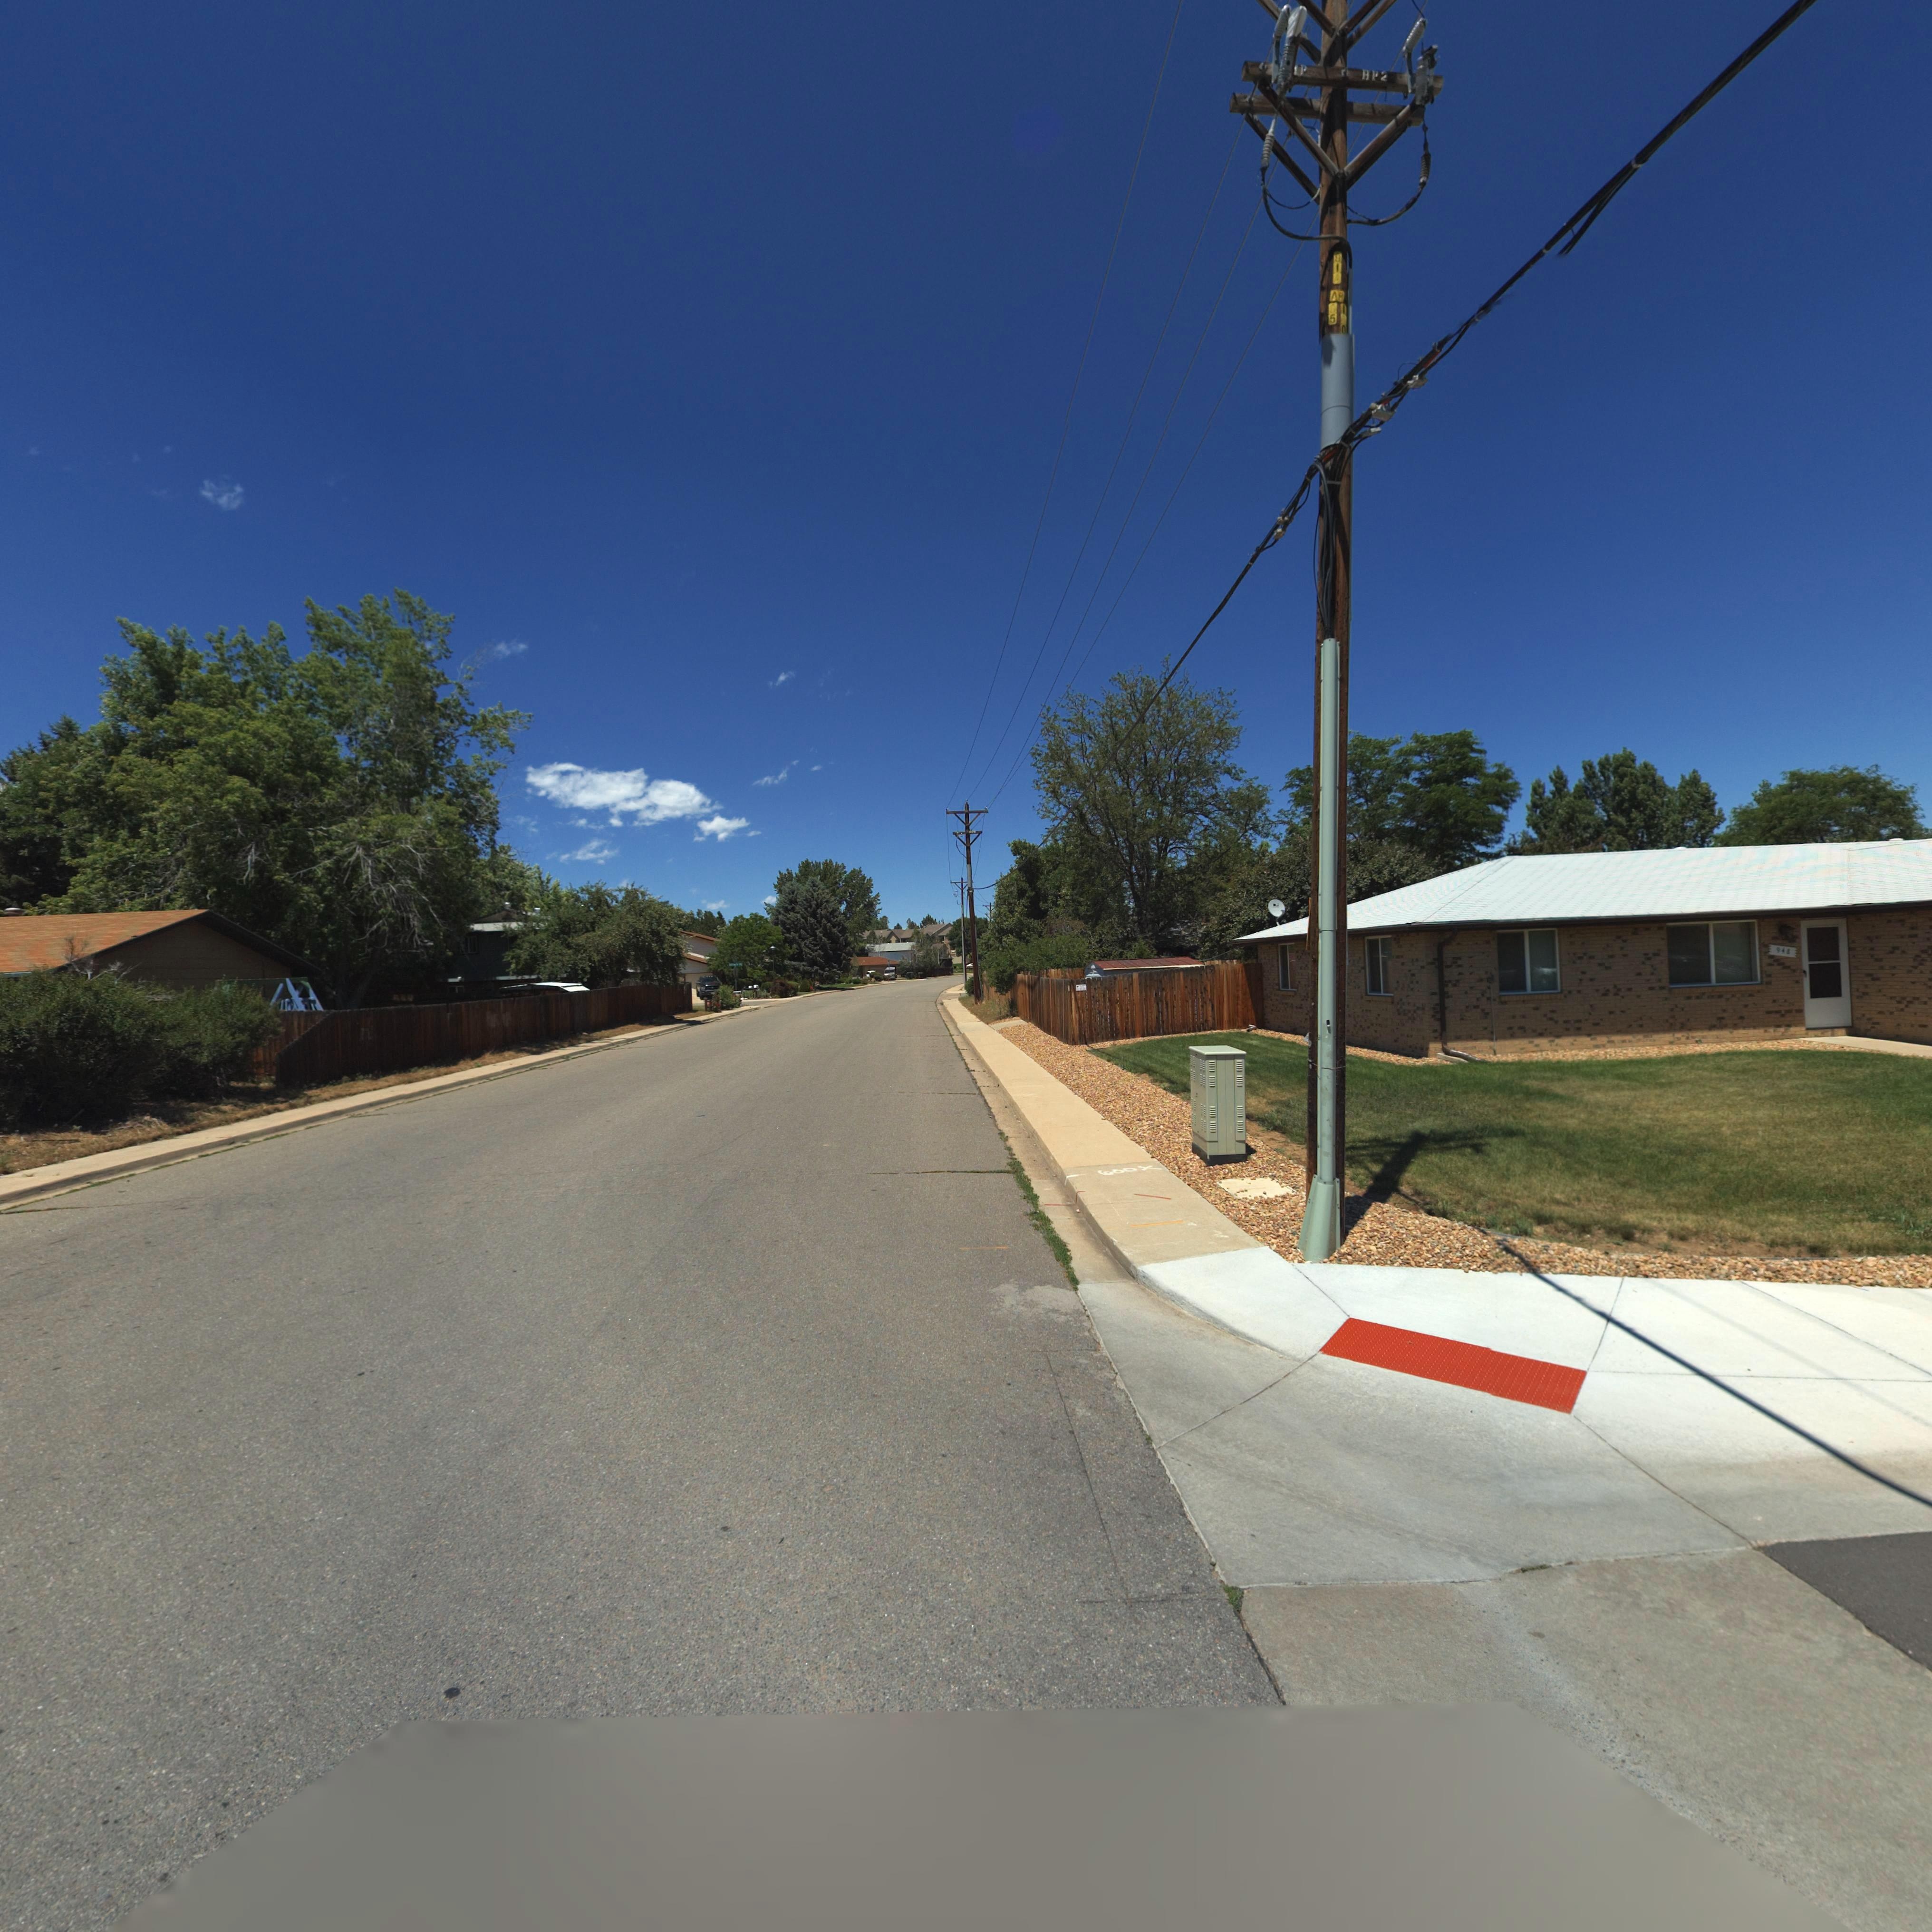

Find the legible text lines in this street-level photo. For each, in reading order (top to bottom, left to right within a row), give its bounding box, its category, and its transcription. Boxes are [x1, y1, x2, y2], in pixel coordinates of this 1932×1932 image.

[1776, 946, 1790, 955] StreetNumber: 948